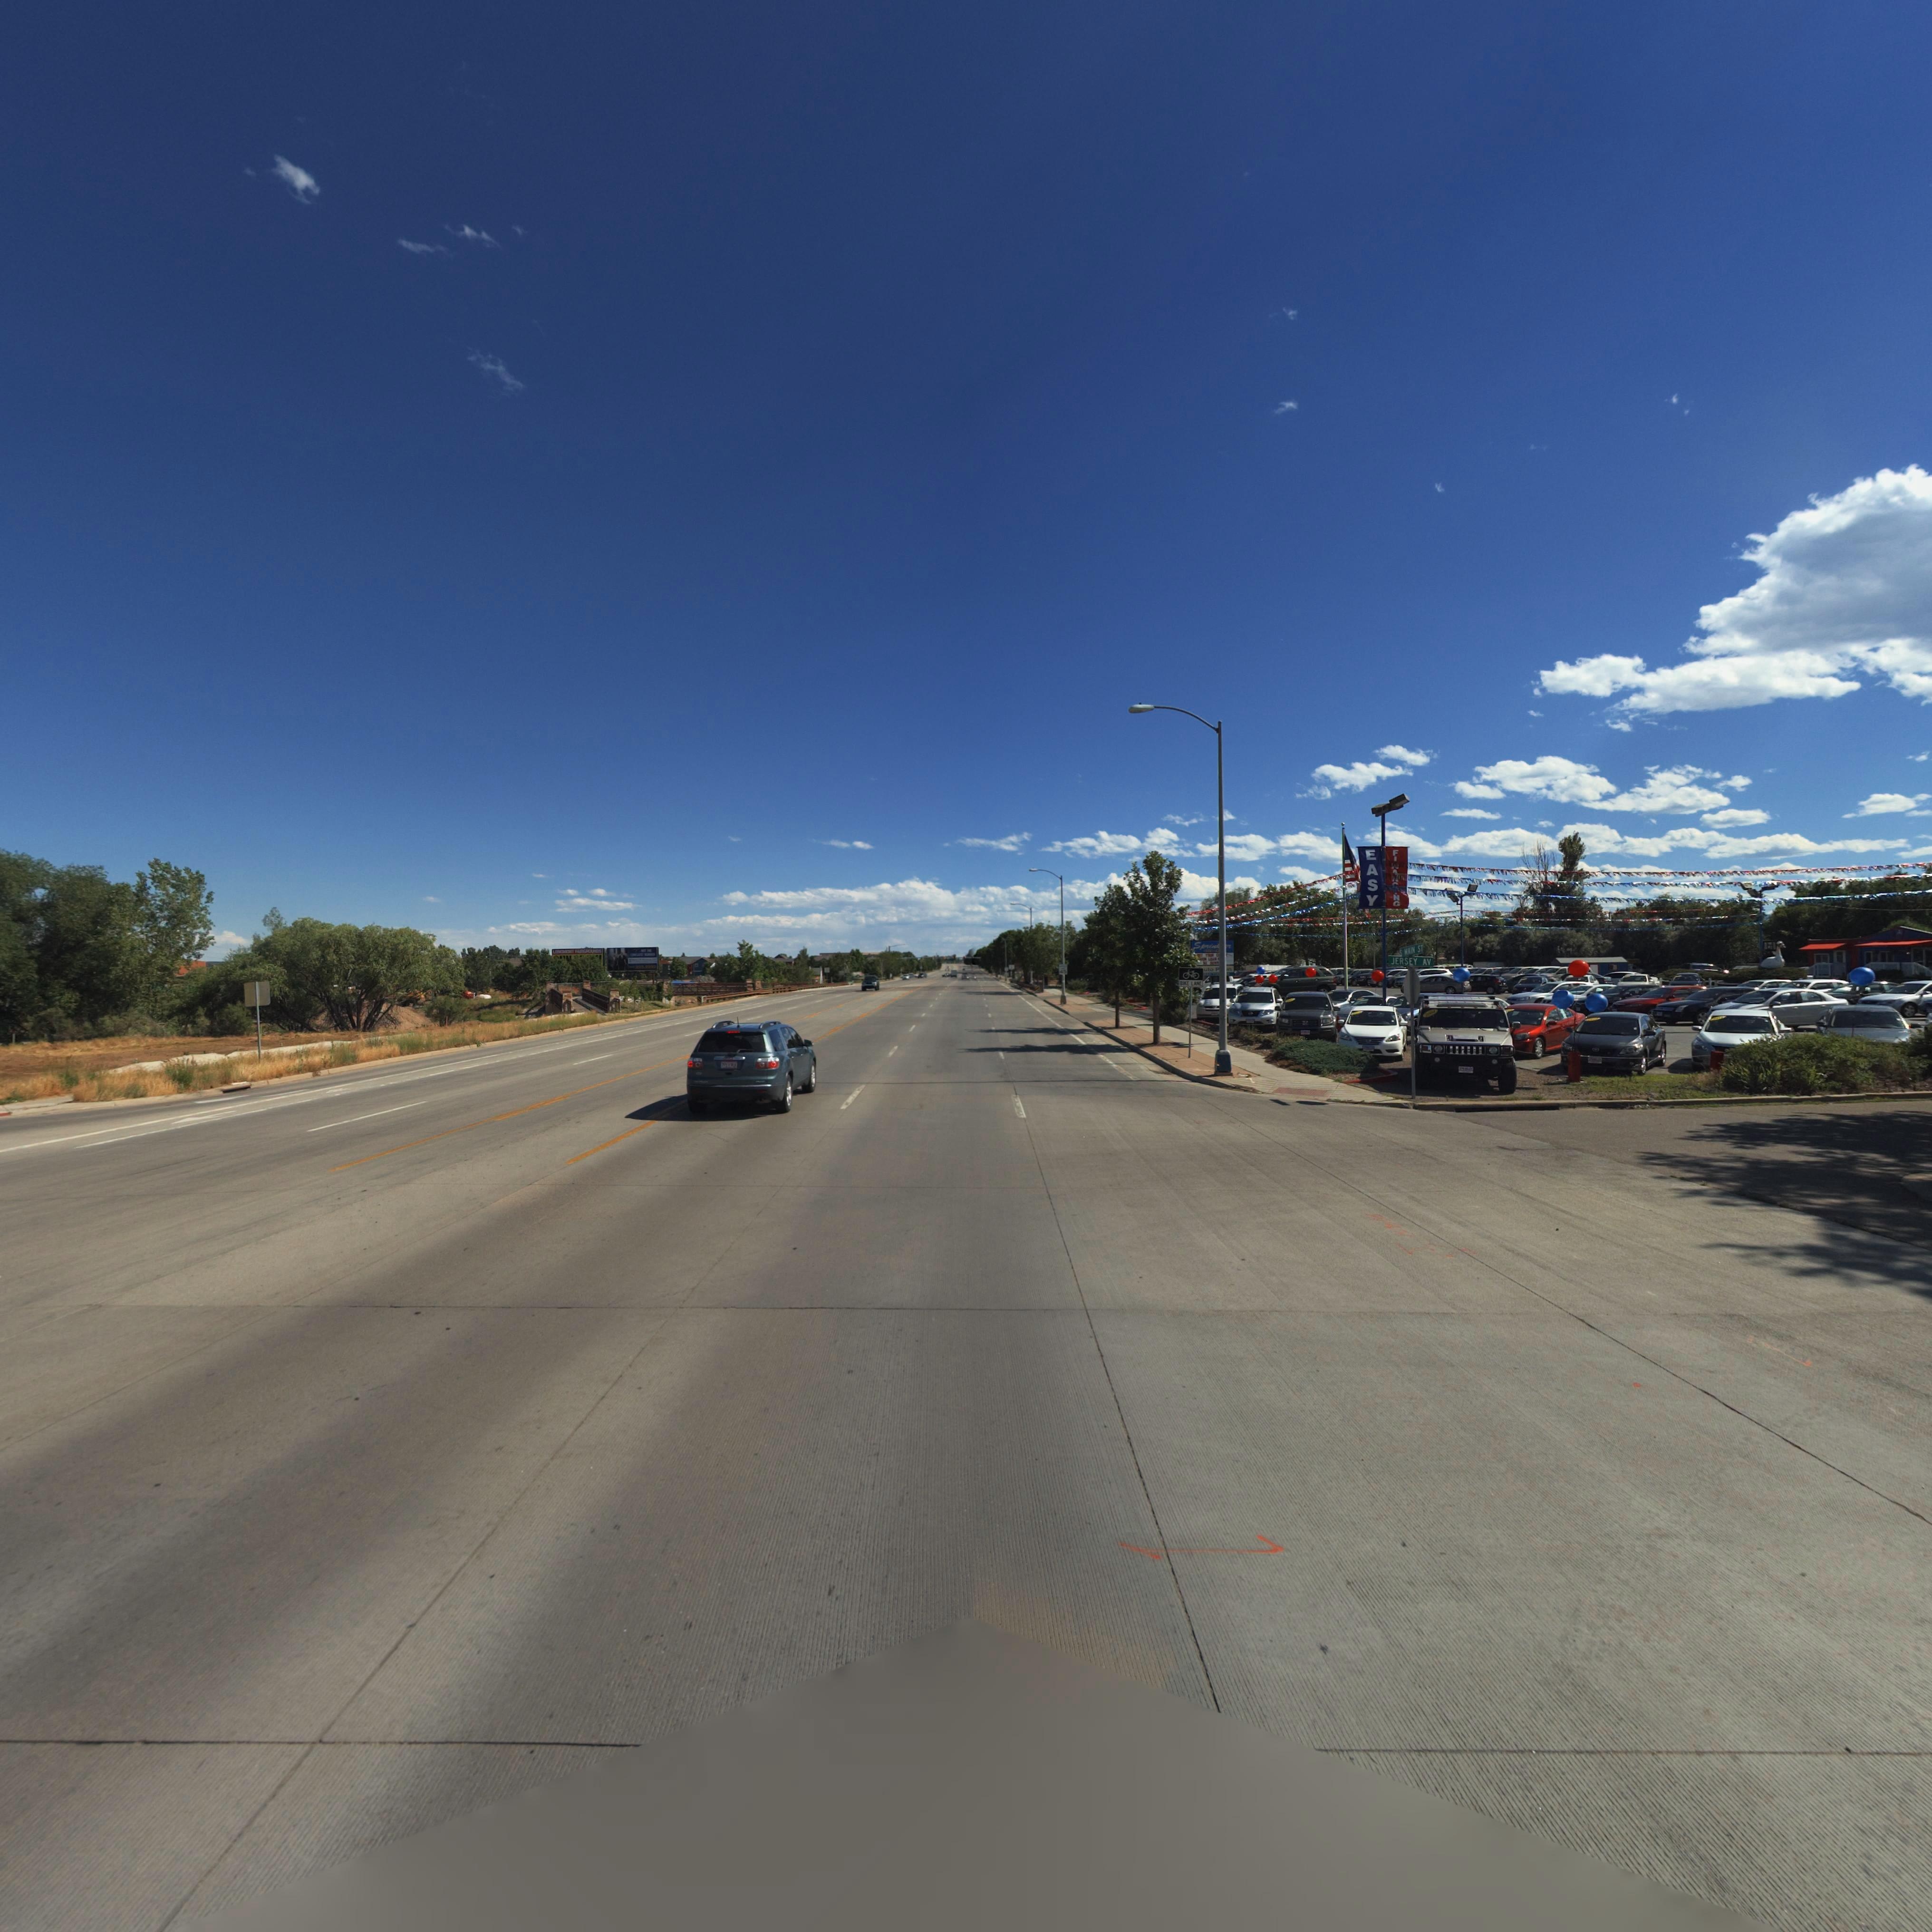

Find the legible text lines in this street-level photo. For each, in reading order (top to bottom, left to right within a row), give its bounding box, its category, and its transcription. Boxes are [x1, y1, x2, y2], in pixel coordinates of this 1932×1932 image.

[1192, 941, 1232, 950] BusinessName: Sprin***r
[1398, 944, 1423, 956] StreetName: * MAIN ST
[1389, 957, 1432, 966] StreetName: JERSRY AV